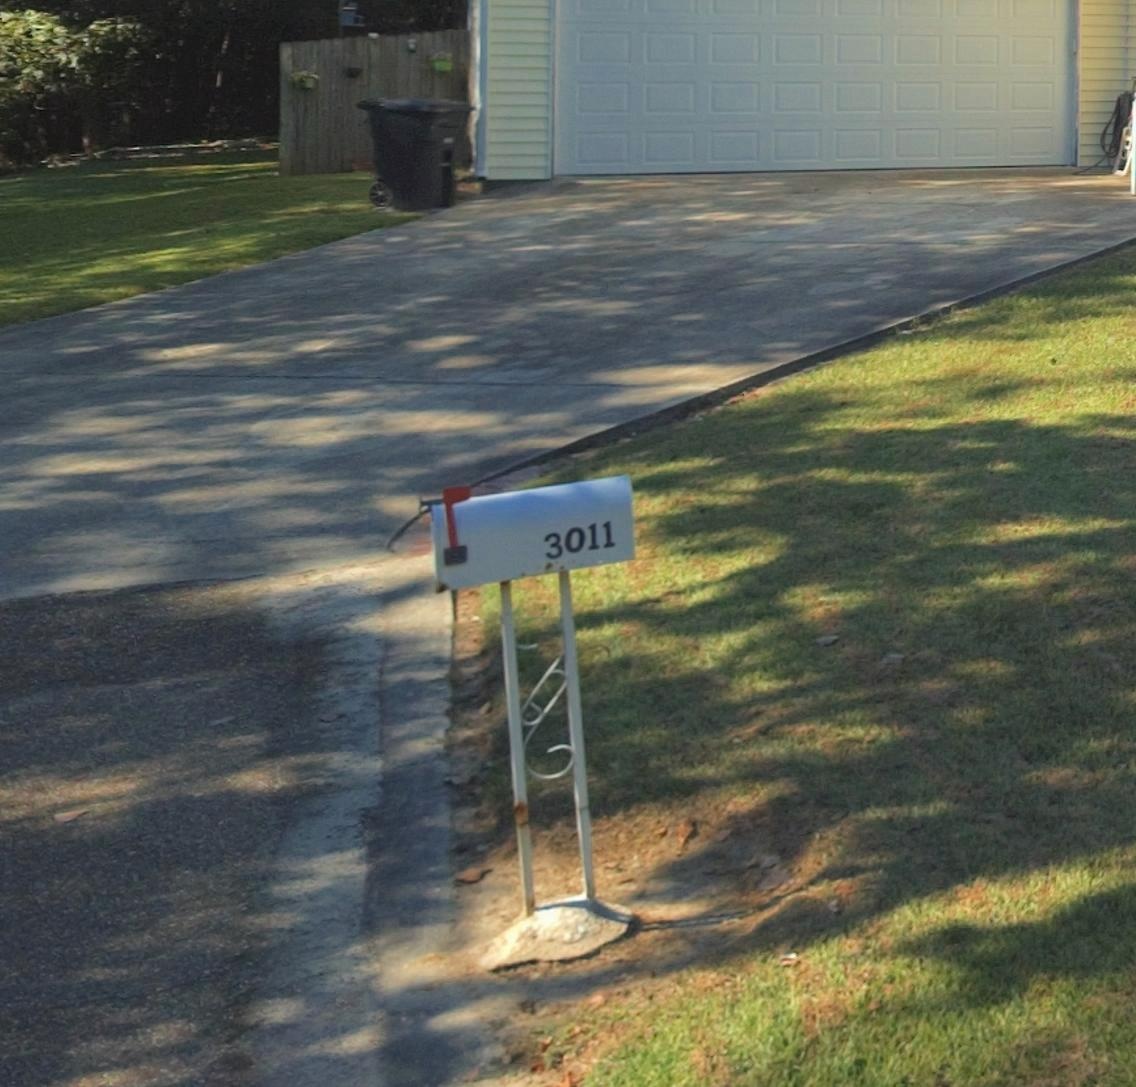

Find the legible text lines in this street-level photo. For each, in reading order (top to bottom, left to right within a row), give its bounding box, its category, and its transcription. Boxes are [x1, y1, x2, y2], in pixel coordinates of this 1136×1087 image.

[542, 518, 617, 561] StreetNumber: 3011